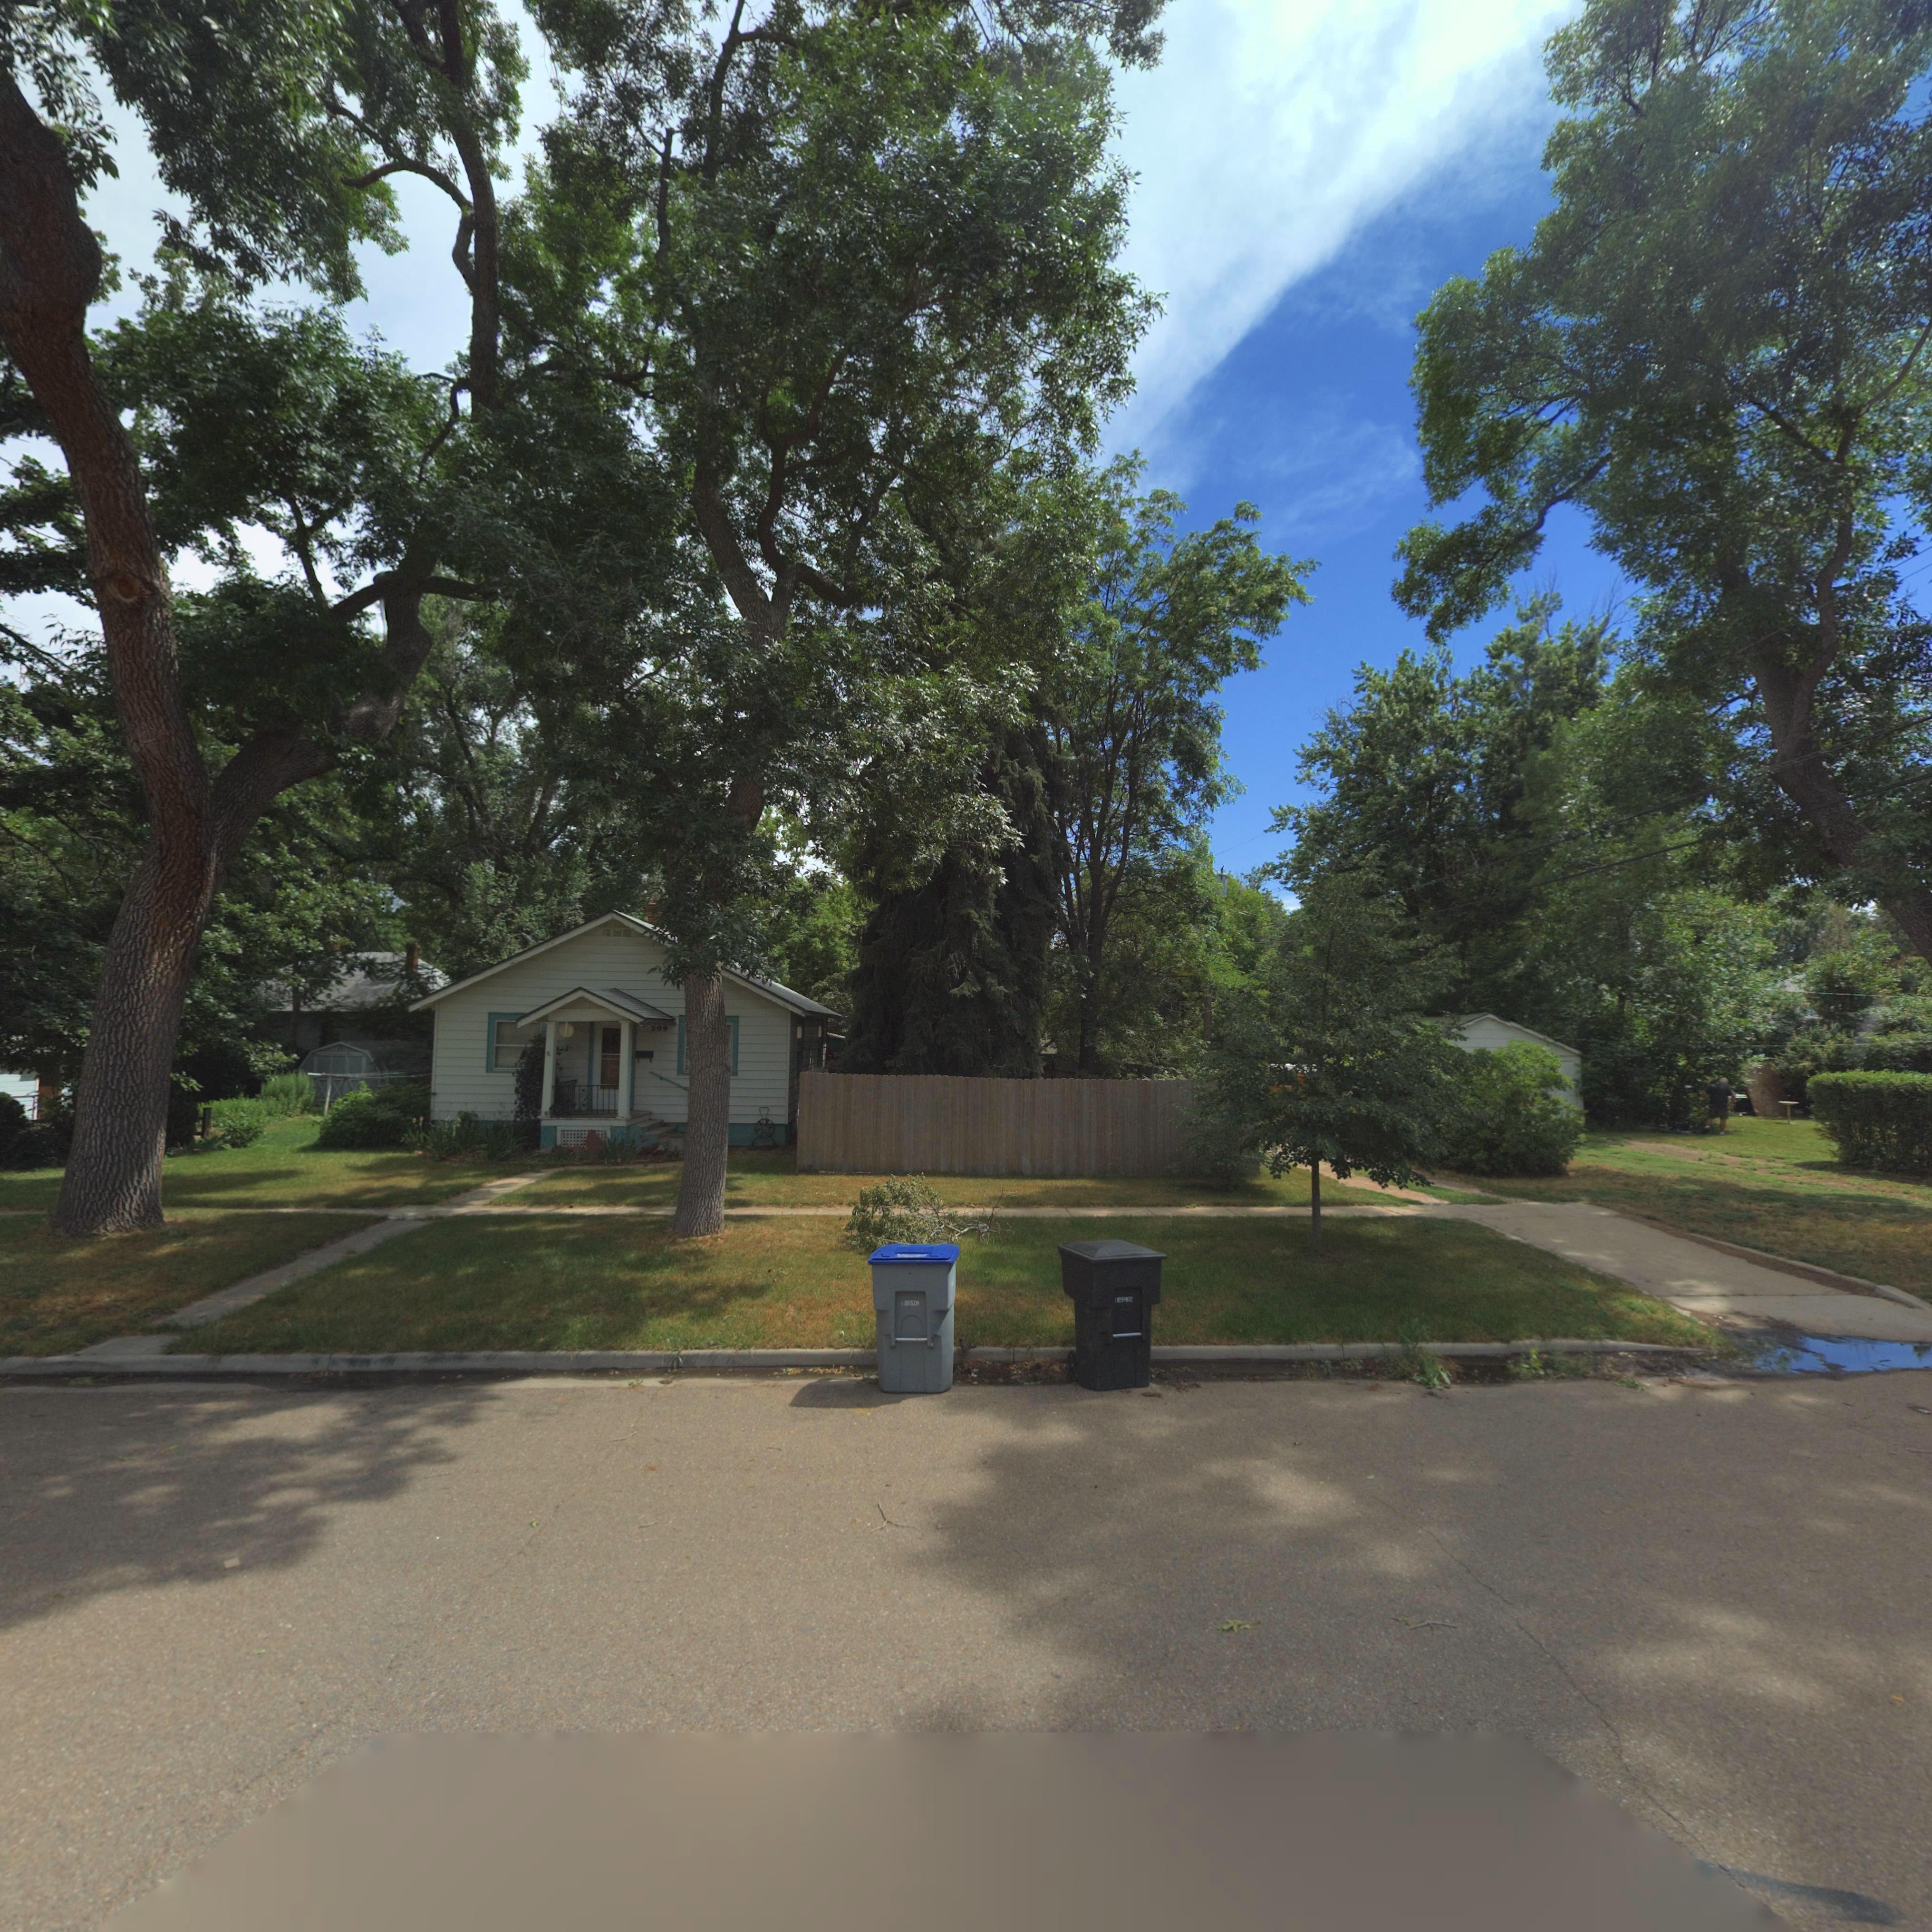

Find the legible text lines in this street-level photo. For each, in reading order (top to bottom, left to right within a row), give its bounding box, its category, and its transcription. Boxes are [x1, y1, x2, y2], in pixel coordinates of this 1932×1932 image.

[651, 1025, 667, 1032] StreetNumber: 209